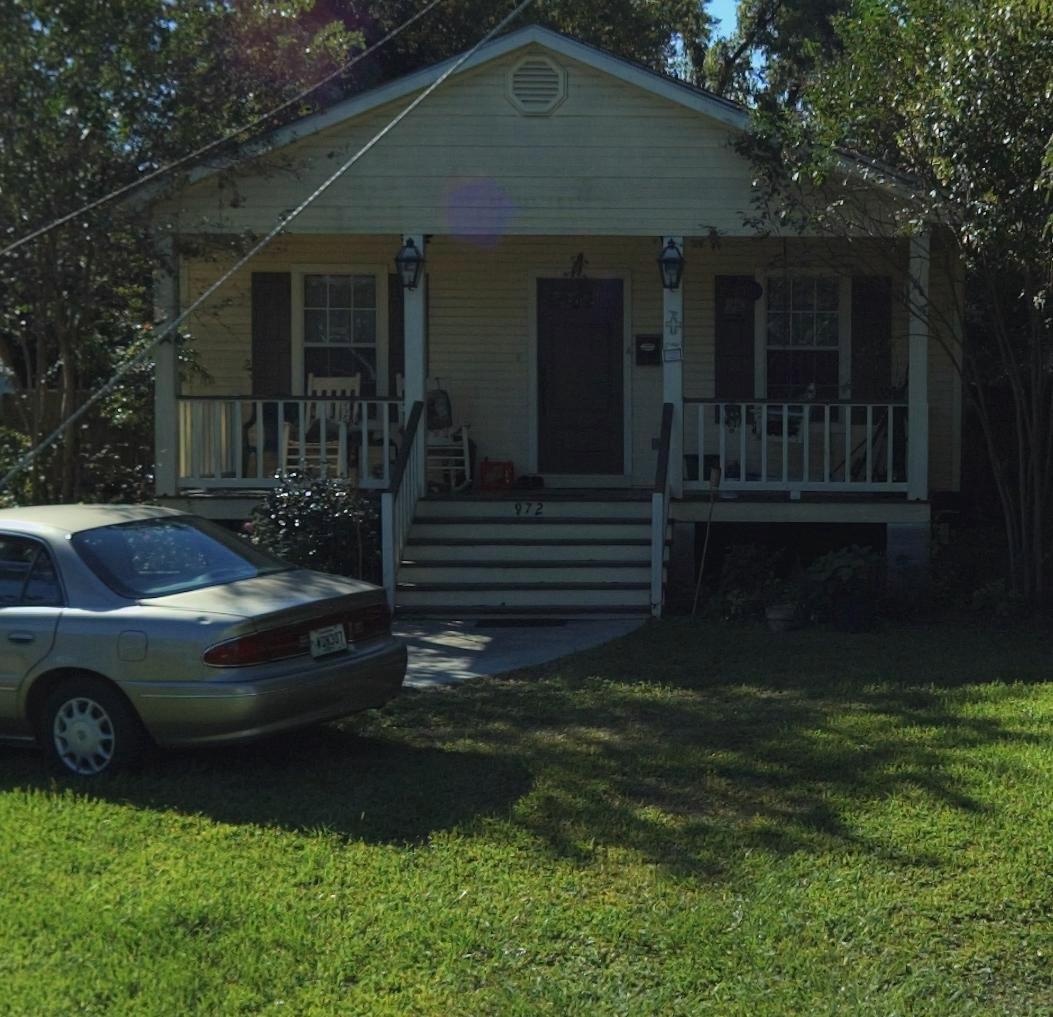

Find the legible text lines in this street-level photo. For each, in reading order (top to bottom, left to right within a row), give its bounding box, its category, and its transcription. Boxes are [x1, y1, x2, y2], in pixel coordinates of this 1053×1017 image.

[512, 500, 547, 517] StreetNumber: 972
[328, 627, 344, 648] None: 307